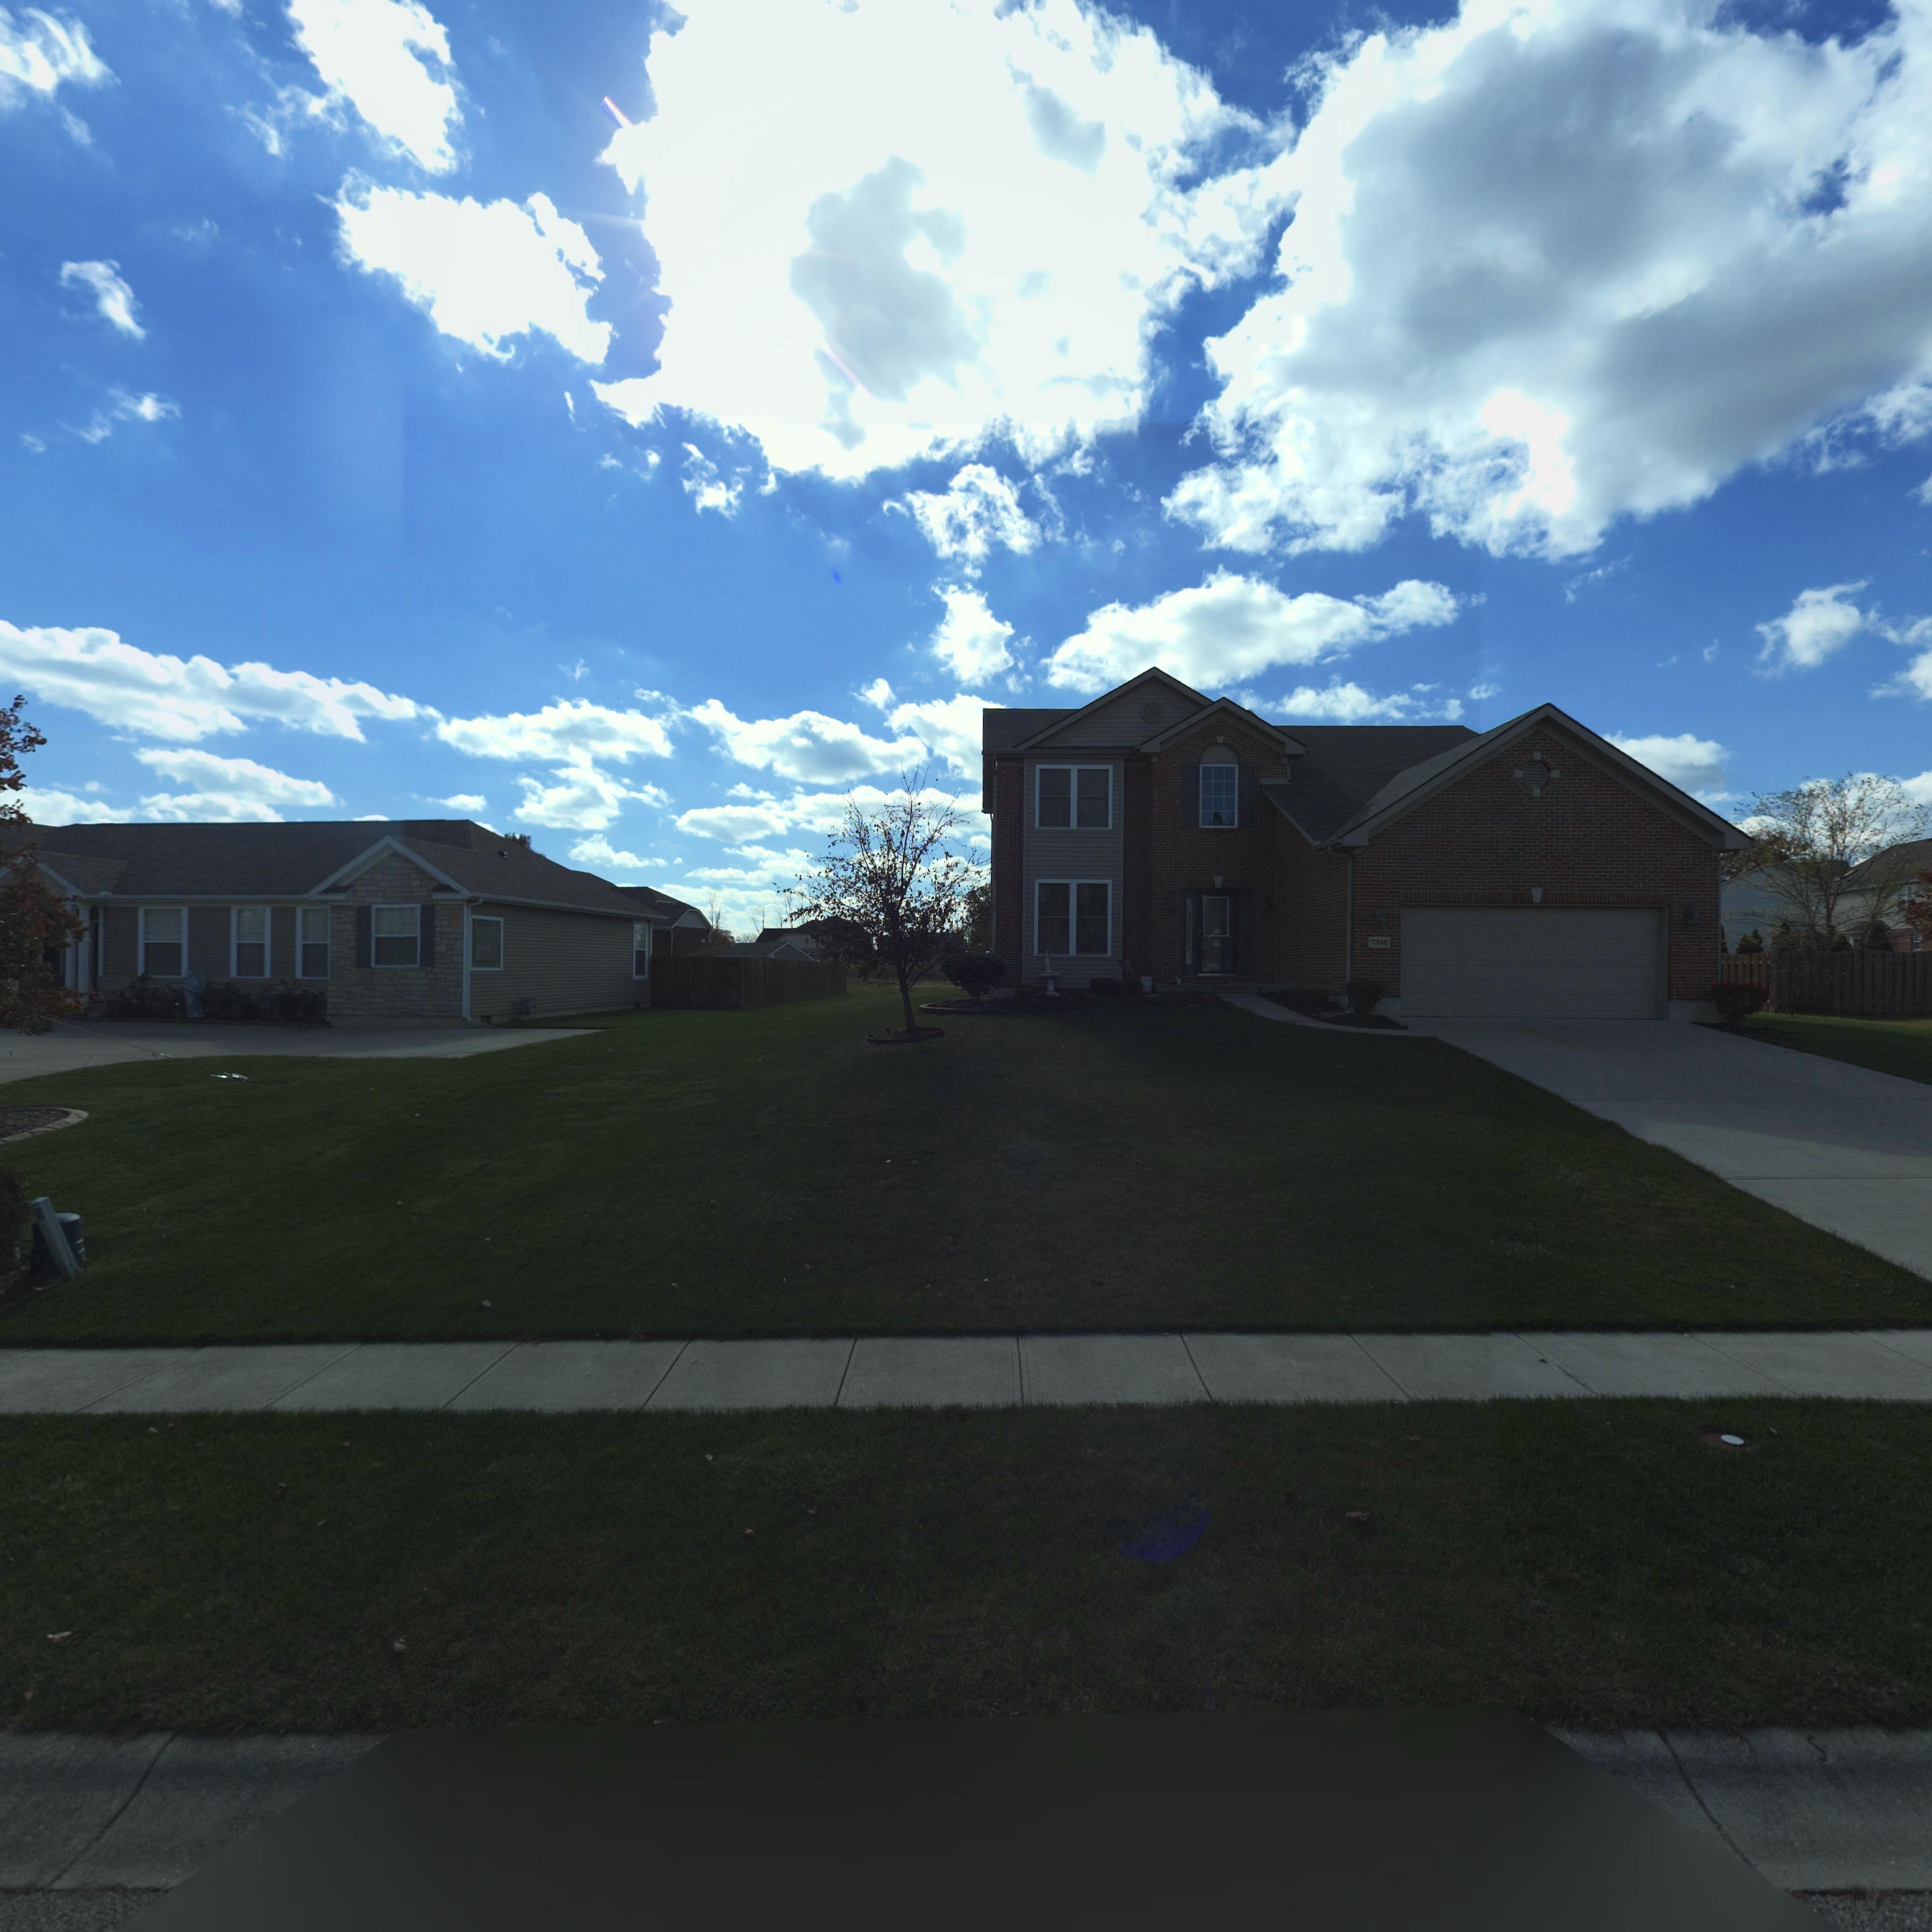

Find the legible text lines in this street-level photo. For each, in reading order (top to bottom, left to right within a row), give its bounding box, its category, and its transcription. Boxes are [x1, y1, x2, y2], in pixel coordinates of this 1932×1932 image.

[1370, 938, 1389, 946] StreetNumber: 7340